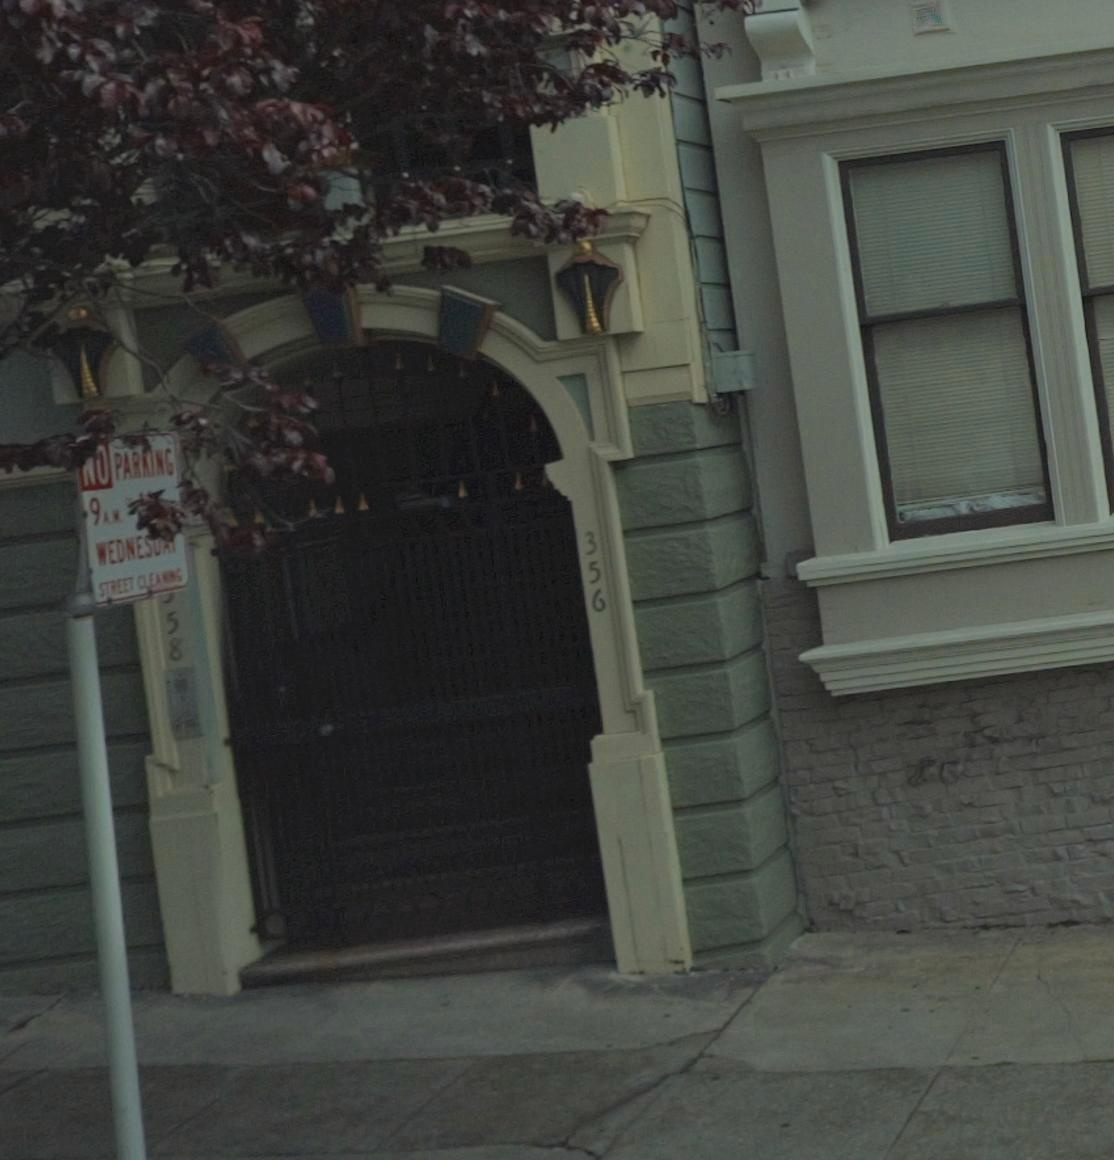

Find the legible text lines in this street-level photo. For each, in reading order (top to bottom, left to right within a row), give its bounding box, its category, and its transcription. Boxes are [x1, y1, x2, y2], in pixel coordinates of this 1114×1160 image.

[90, 439, 177, 490] None: O PARKING
[86, 493, 127, 531] None: 9AM
[90, 530, 156, 571] None: WEDNES
[95, 563, 188, 602] None: STREET CLEA***G
[579, 527, 609, 617] StreetNumber: 356
[163, 606, 186, 665] StreetNumber: 58